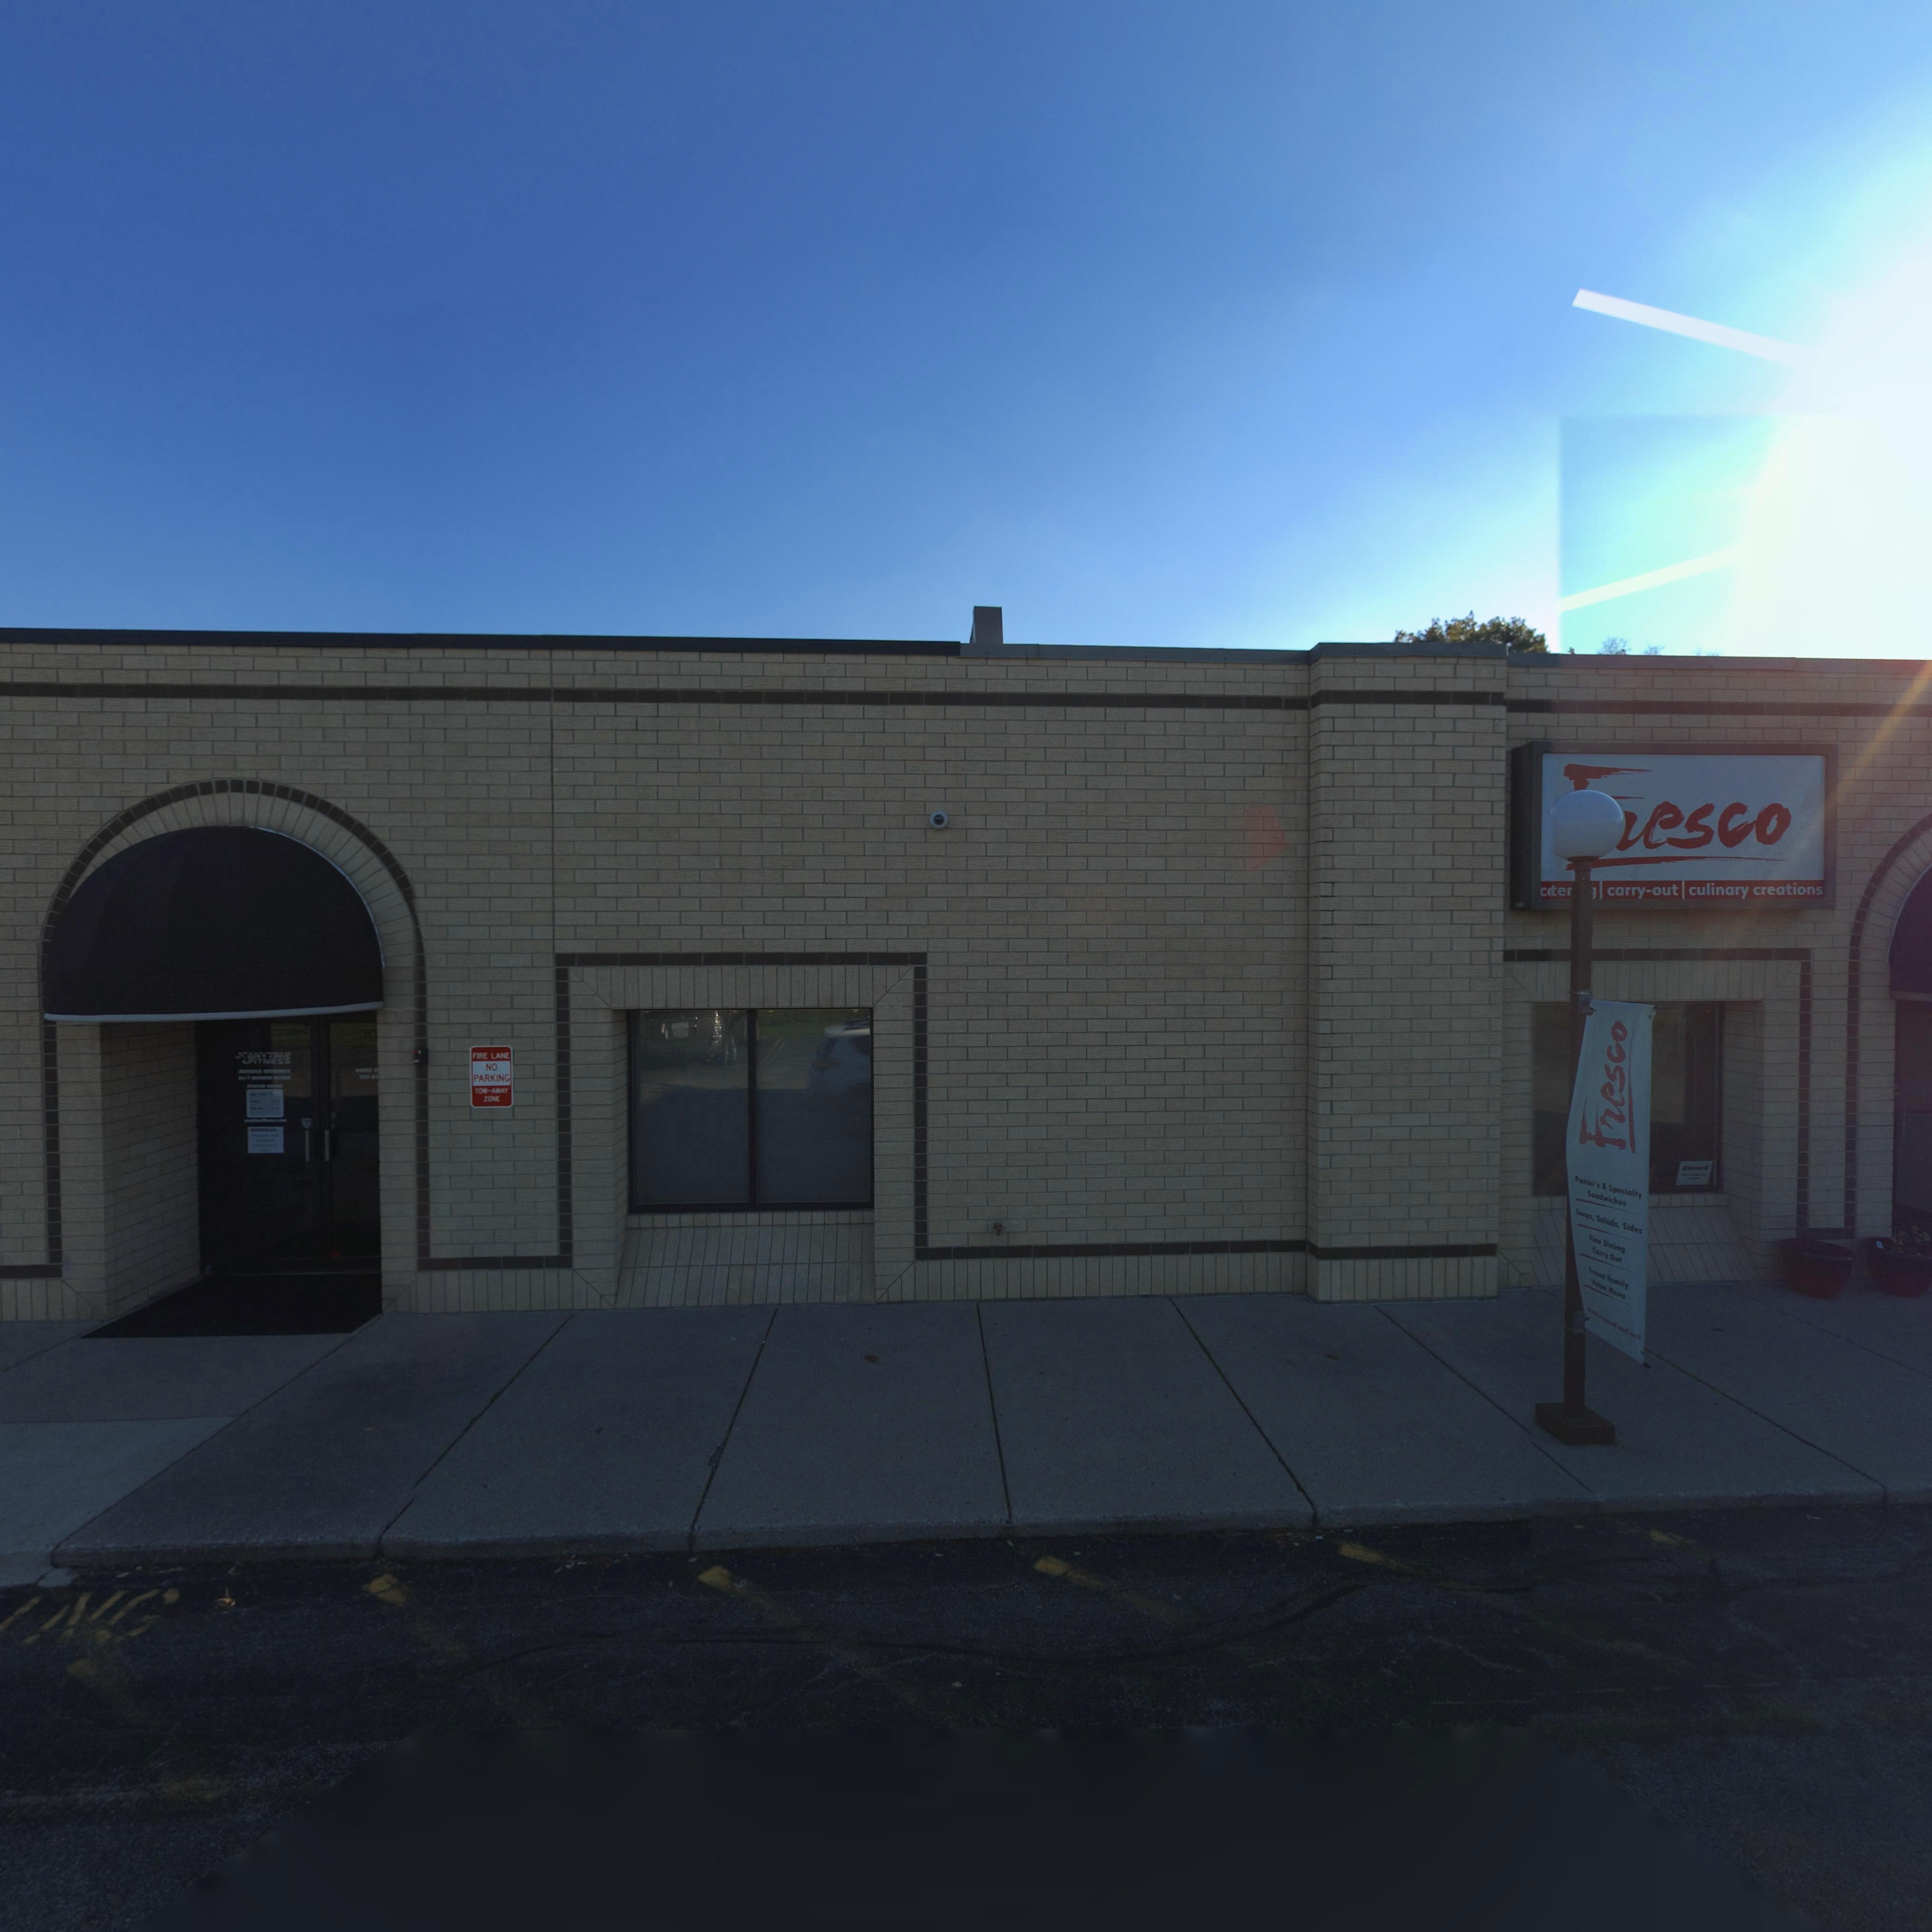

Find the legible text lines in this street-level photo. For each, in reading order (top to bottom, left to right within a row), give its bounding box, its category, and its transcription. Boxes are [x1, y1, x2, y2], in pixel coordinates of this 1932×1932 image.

[1640, 798, 1795, 852] BusinessName: esco
[1606, 880, 1825, 900] None: carry-out culinary creations
[359, 1028, 378, 1039] StreetNumber: 313
[247, 1058, 292, 1065] None: FITNESS
[1575, 1018, 1629, 1153] BusinessName: Fresco